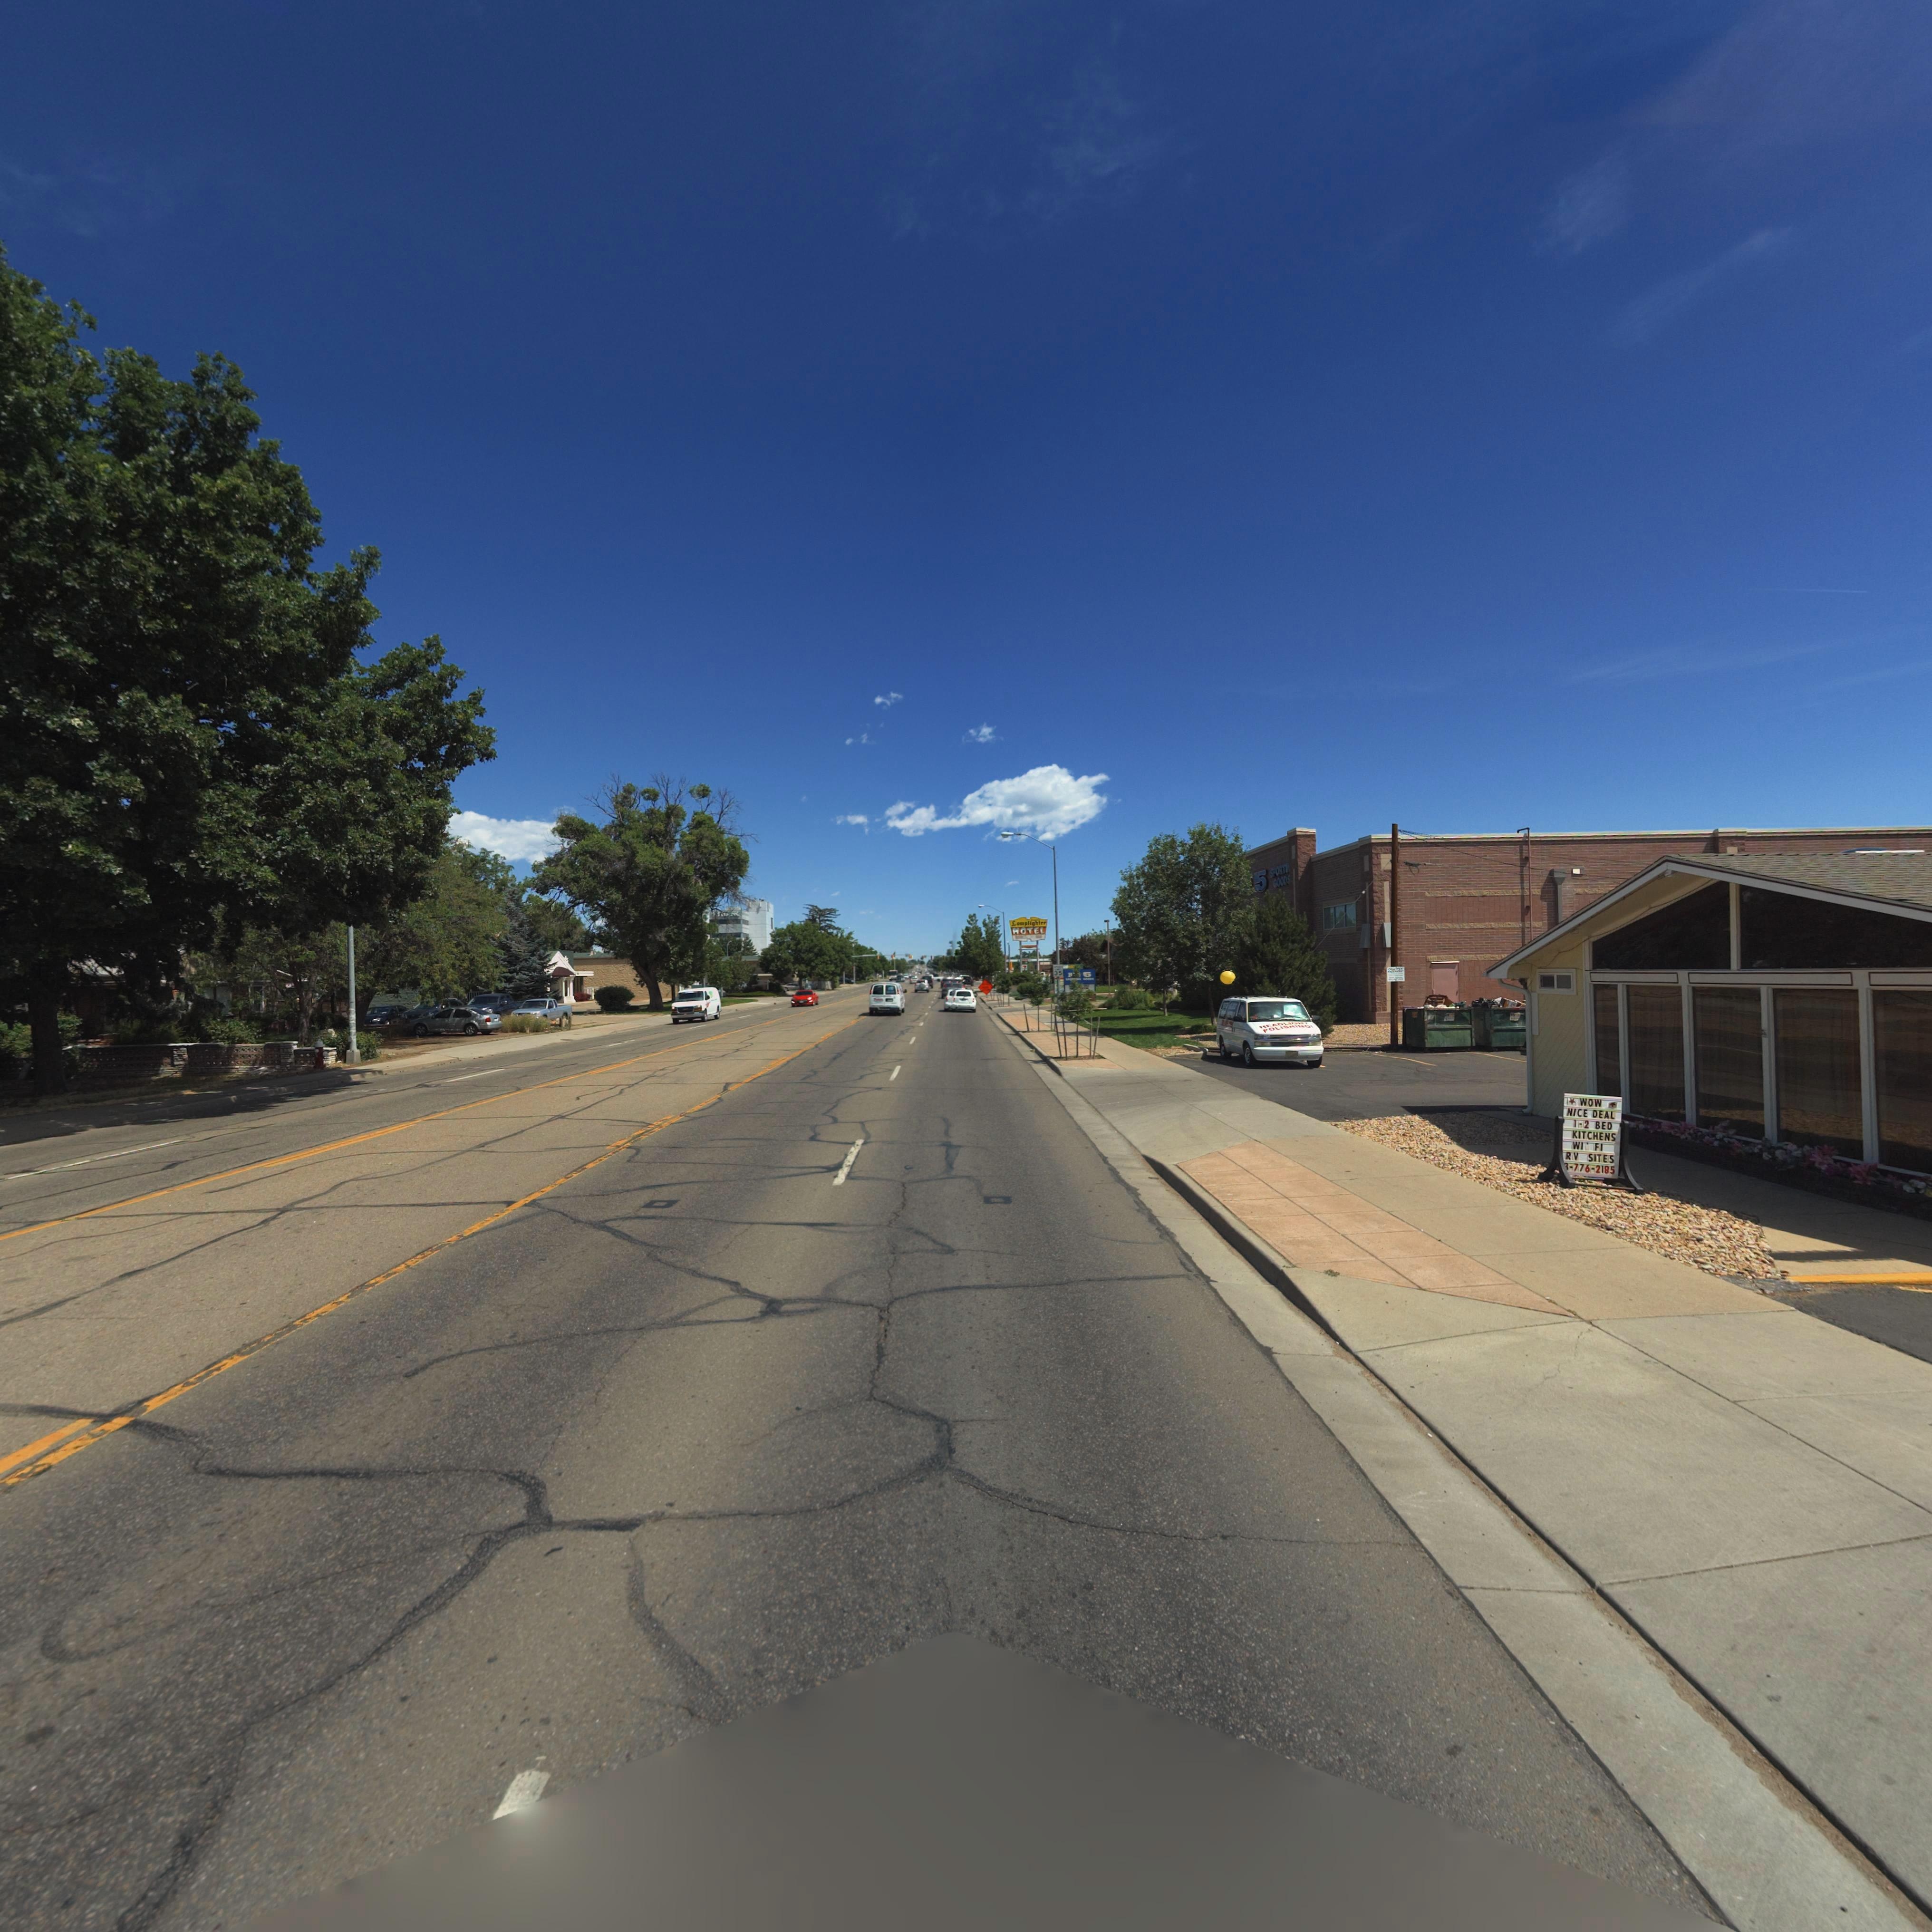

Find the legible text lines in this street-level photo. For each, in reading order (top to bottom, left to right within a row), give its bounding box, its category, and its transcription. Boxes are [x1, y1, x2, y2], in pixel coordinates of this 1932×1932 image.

[1269, 862, 1289, 878] BusinessName: SPORTI
[1253, 868, 1268, 893] BusinessName: 5
[1272, 873, 1291, 889] BusinessName: GOOD*
[1010, 919, 1047, 927] BusinessName: Lamplighter
[1012, 927, 1045, 935] BusinessName: MOTEL
[1023, 965, 1026, 971] BusinessName: 7
[1068, 971, 1092, 977] BusinessName: B** 5